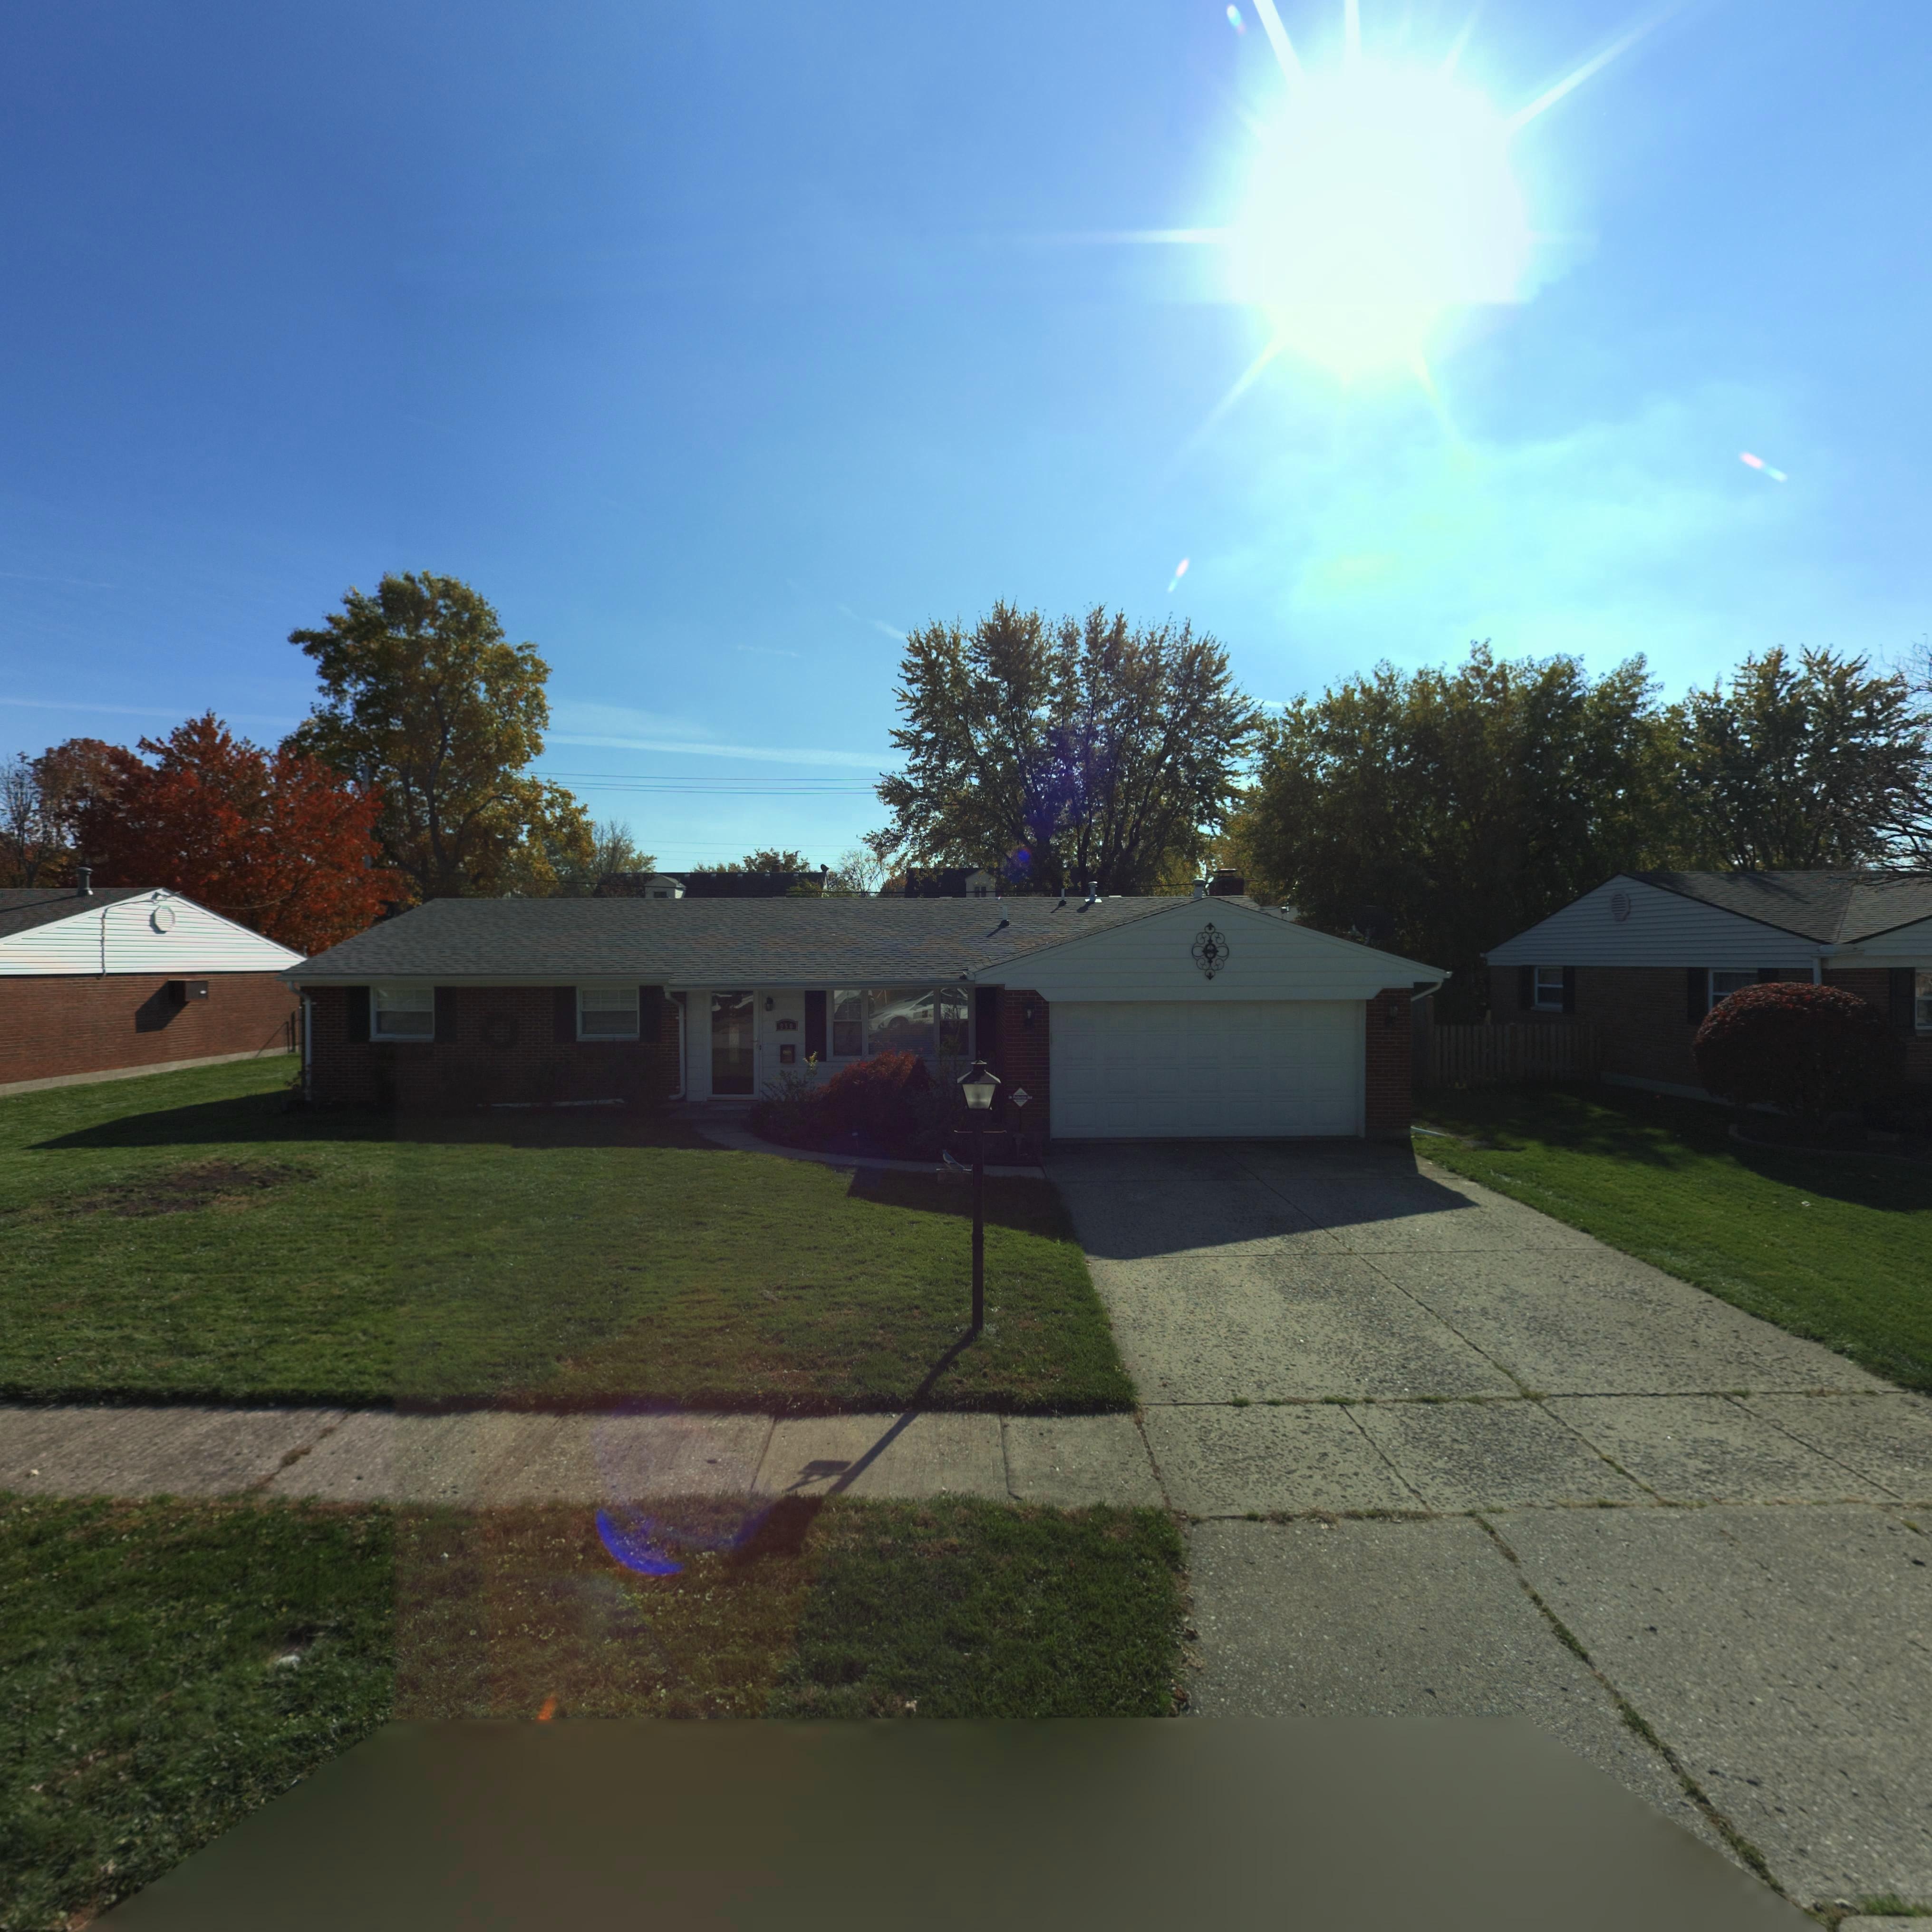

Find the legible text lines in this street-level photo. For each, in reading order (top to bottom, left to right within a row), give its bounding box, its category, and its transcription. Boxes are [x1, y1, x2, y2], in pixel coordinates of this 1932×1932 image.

[780, 1023, 793, 1030] StreetNumber: 950